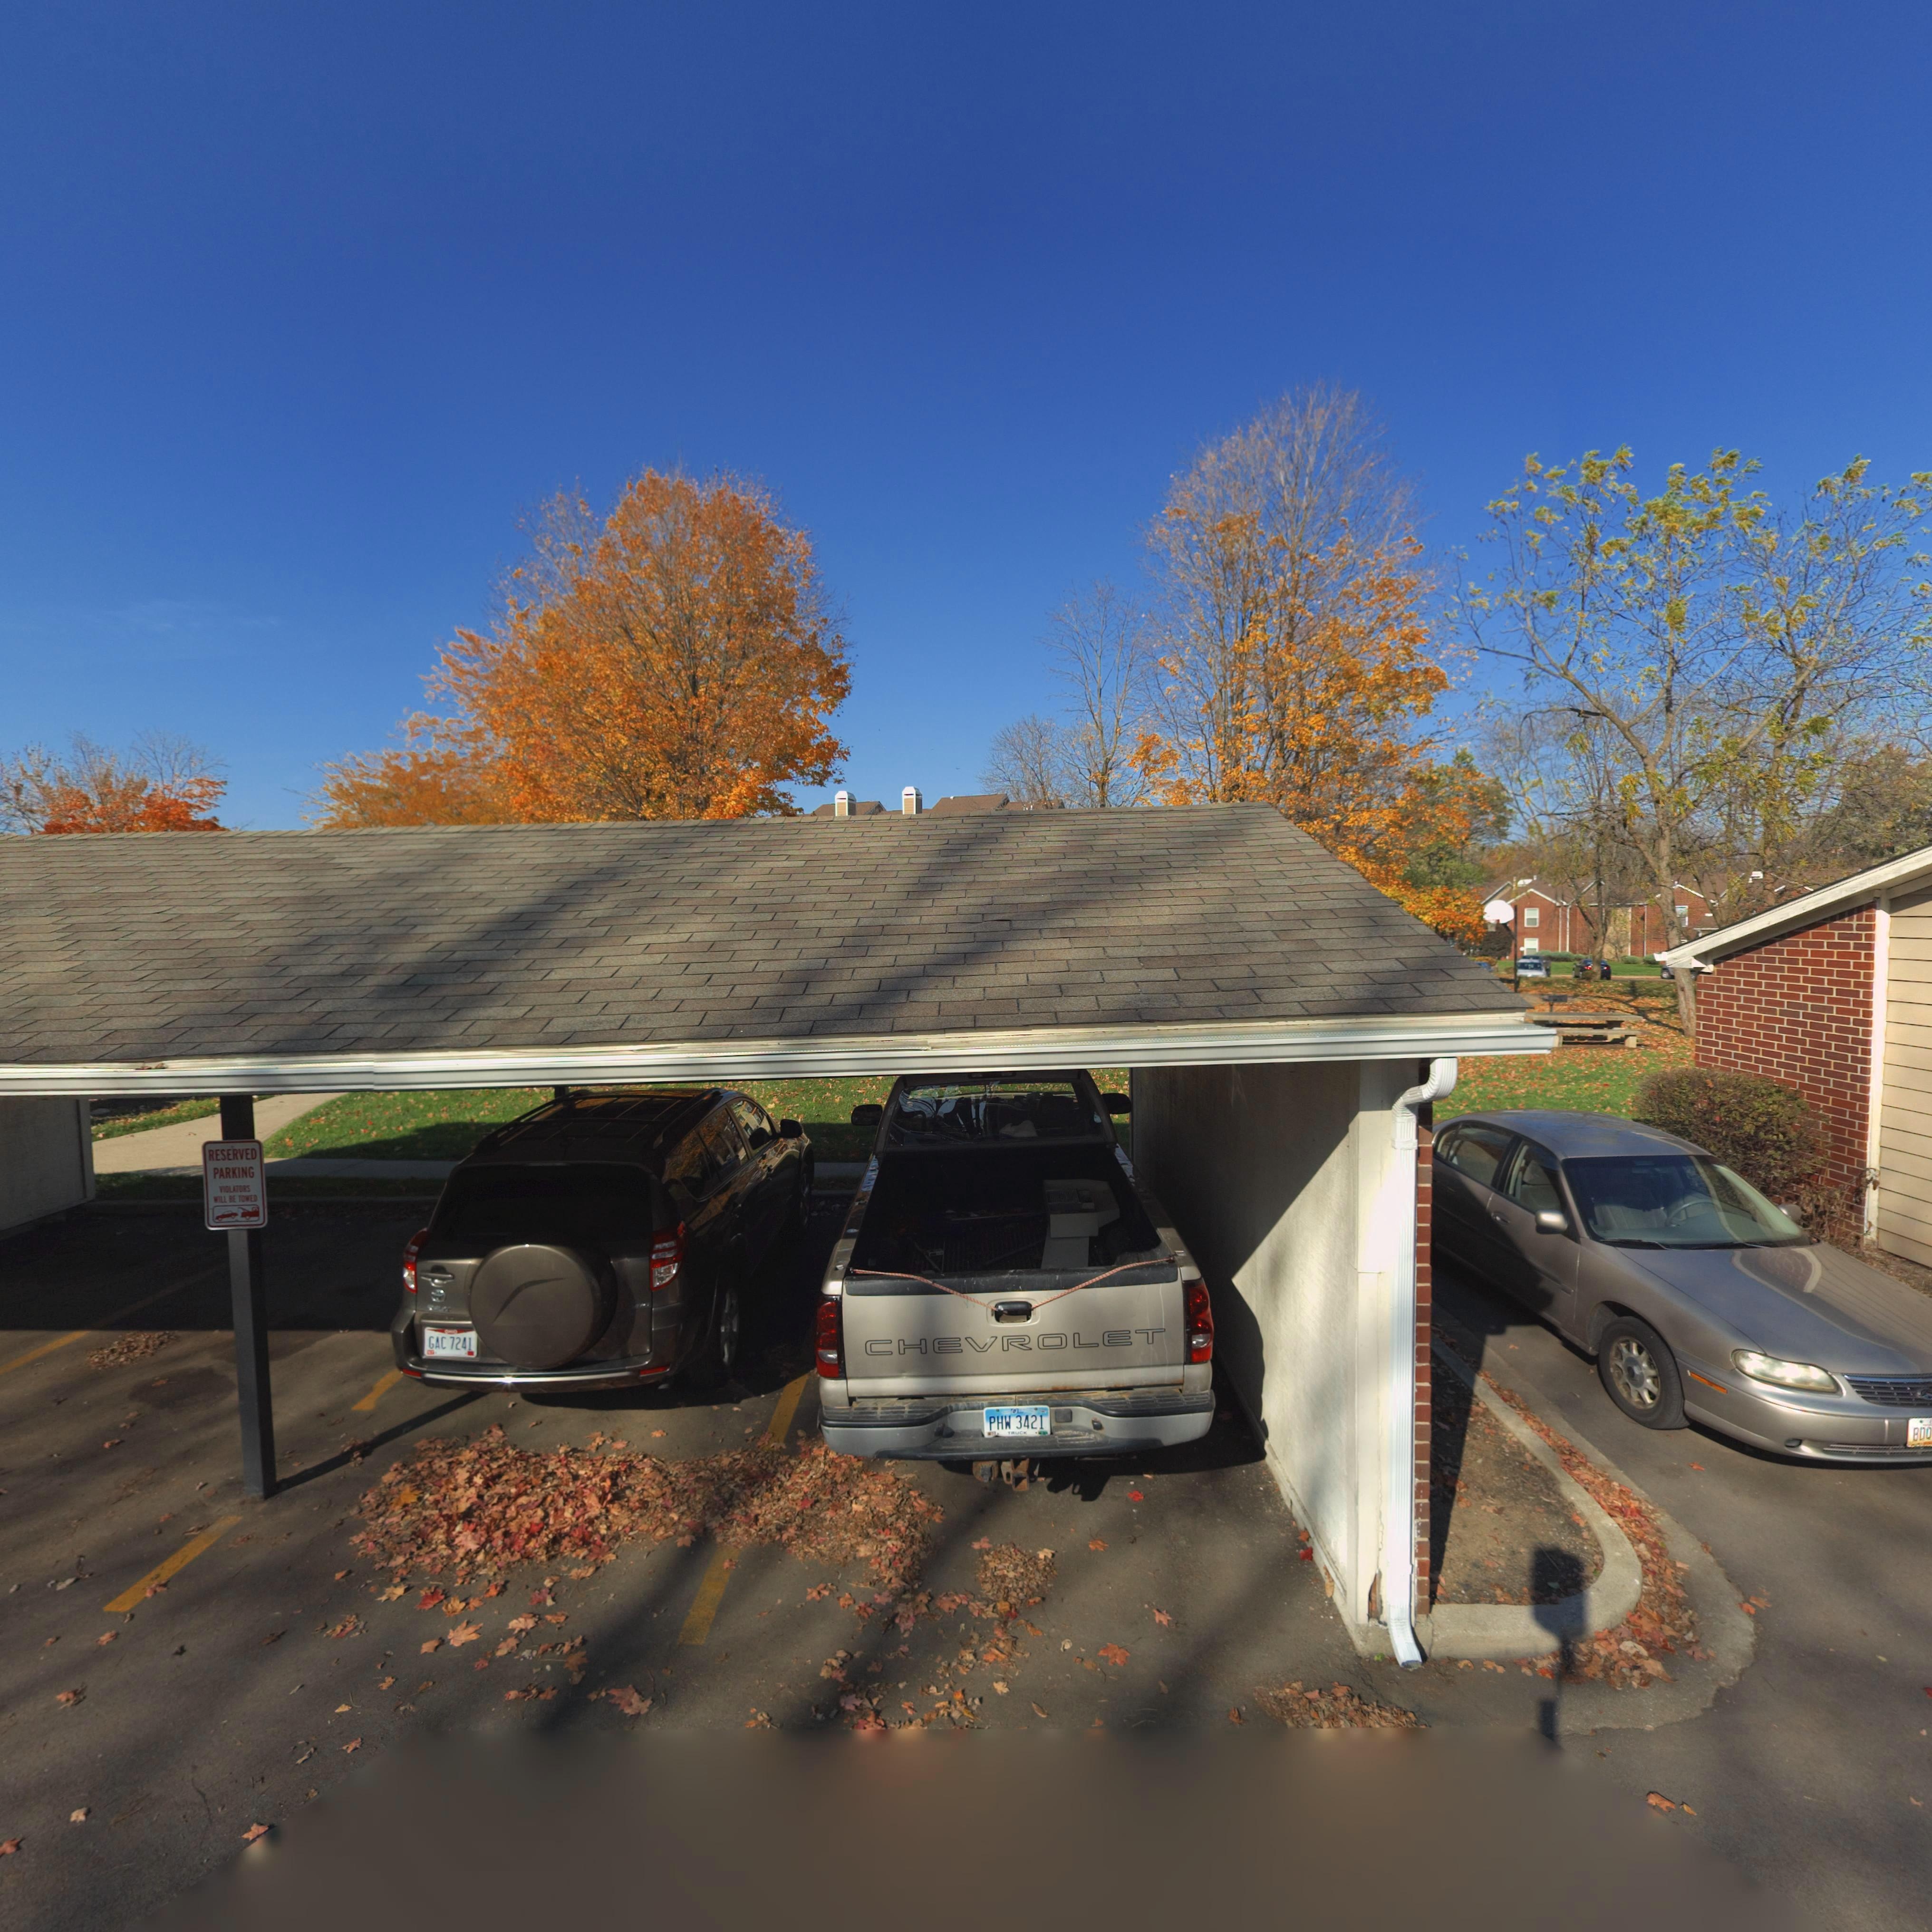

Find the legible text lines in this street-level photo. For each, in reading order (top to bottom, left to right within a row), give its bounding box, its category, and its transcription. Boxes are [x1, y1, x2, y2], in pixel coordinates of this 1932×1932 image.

[207, 1147, 259, 1162] None: RESERVED
[212, 1165, 256, 1180] None: PARKING
[217, 1183, 252, 1194] None: VIOLATORS
[213, 1194, 259, 1204] None: *ILL BE TO*ED
[427, 1335, 473, 1352] None: GAC 7241
[864, 1327, 1167, 1357] None: CHEVROLET
[988, 1412, 1045, 1432] None: PHW 3421
[1007, 1430, 1028, 1436] None: TRUCK
[1912, 1426, 1932, 1443] None: BD*